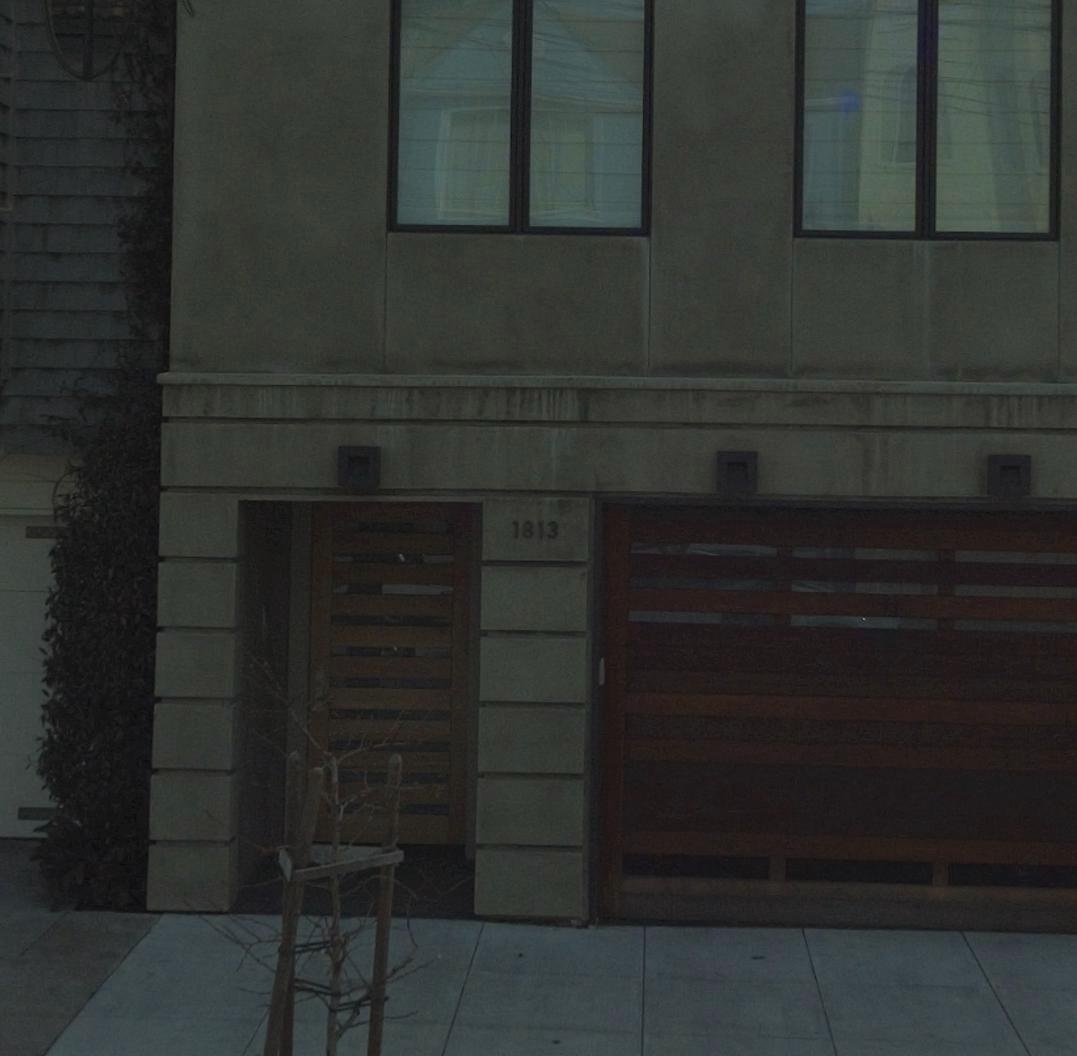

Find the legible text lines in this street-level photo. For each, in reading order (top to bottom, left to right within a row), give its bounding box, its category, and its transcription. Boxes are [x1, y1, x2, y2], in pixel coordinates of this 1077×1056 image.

[510, 518, 561, 541] StreetNumber: 1813